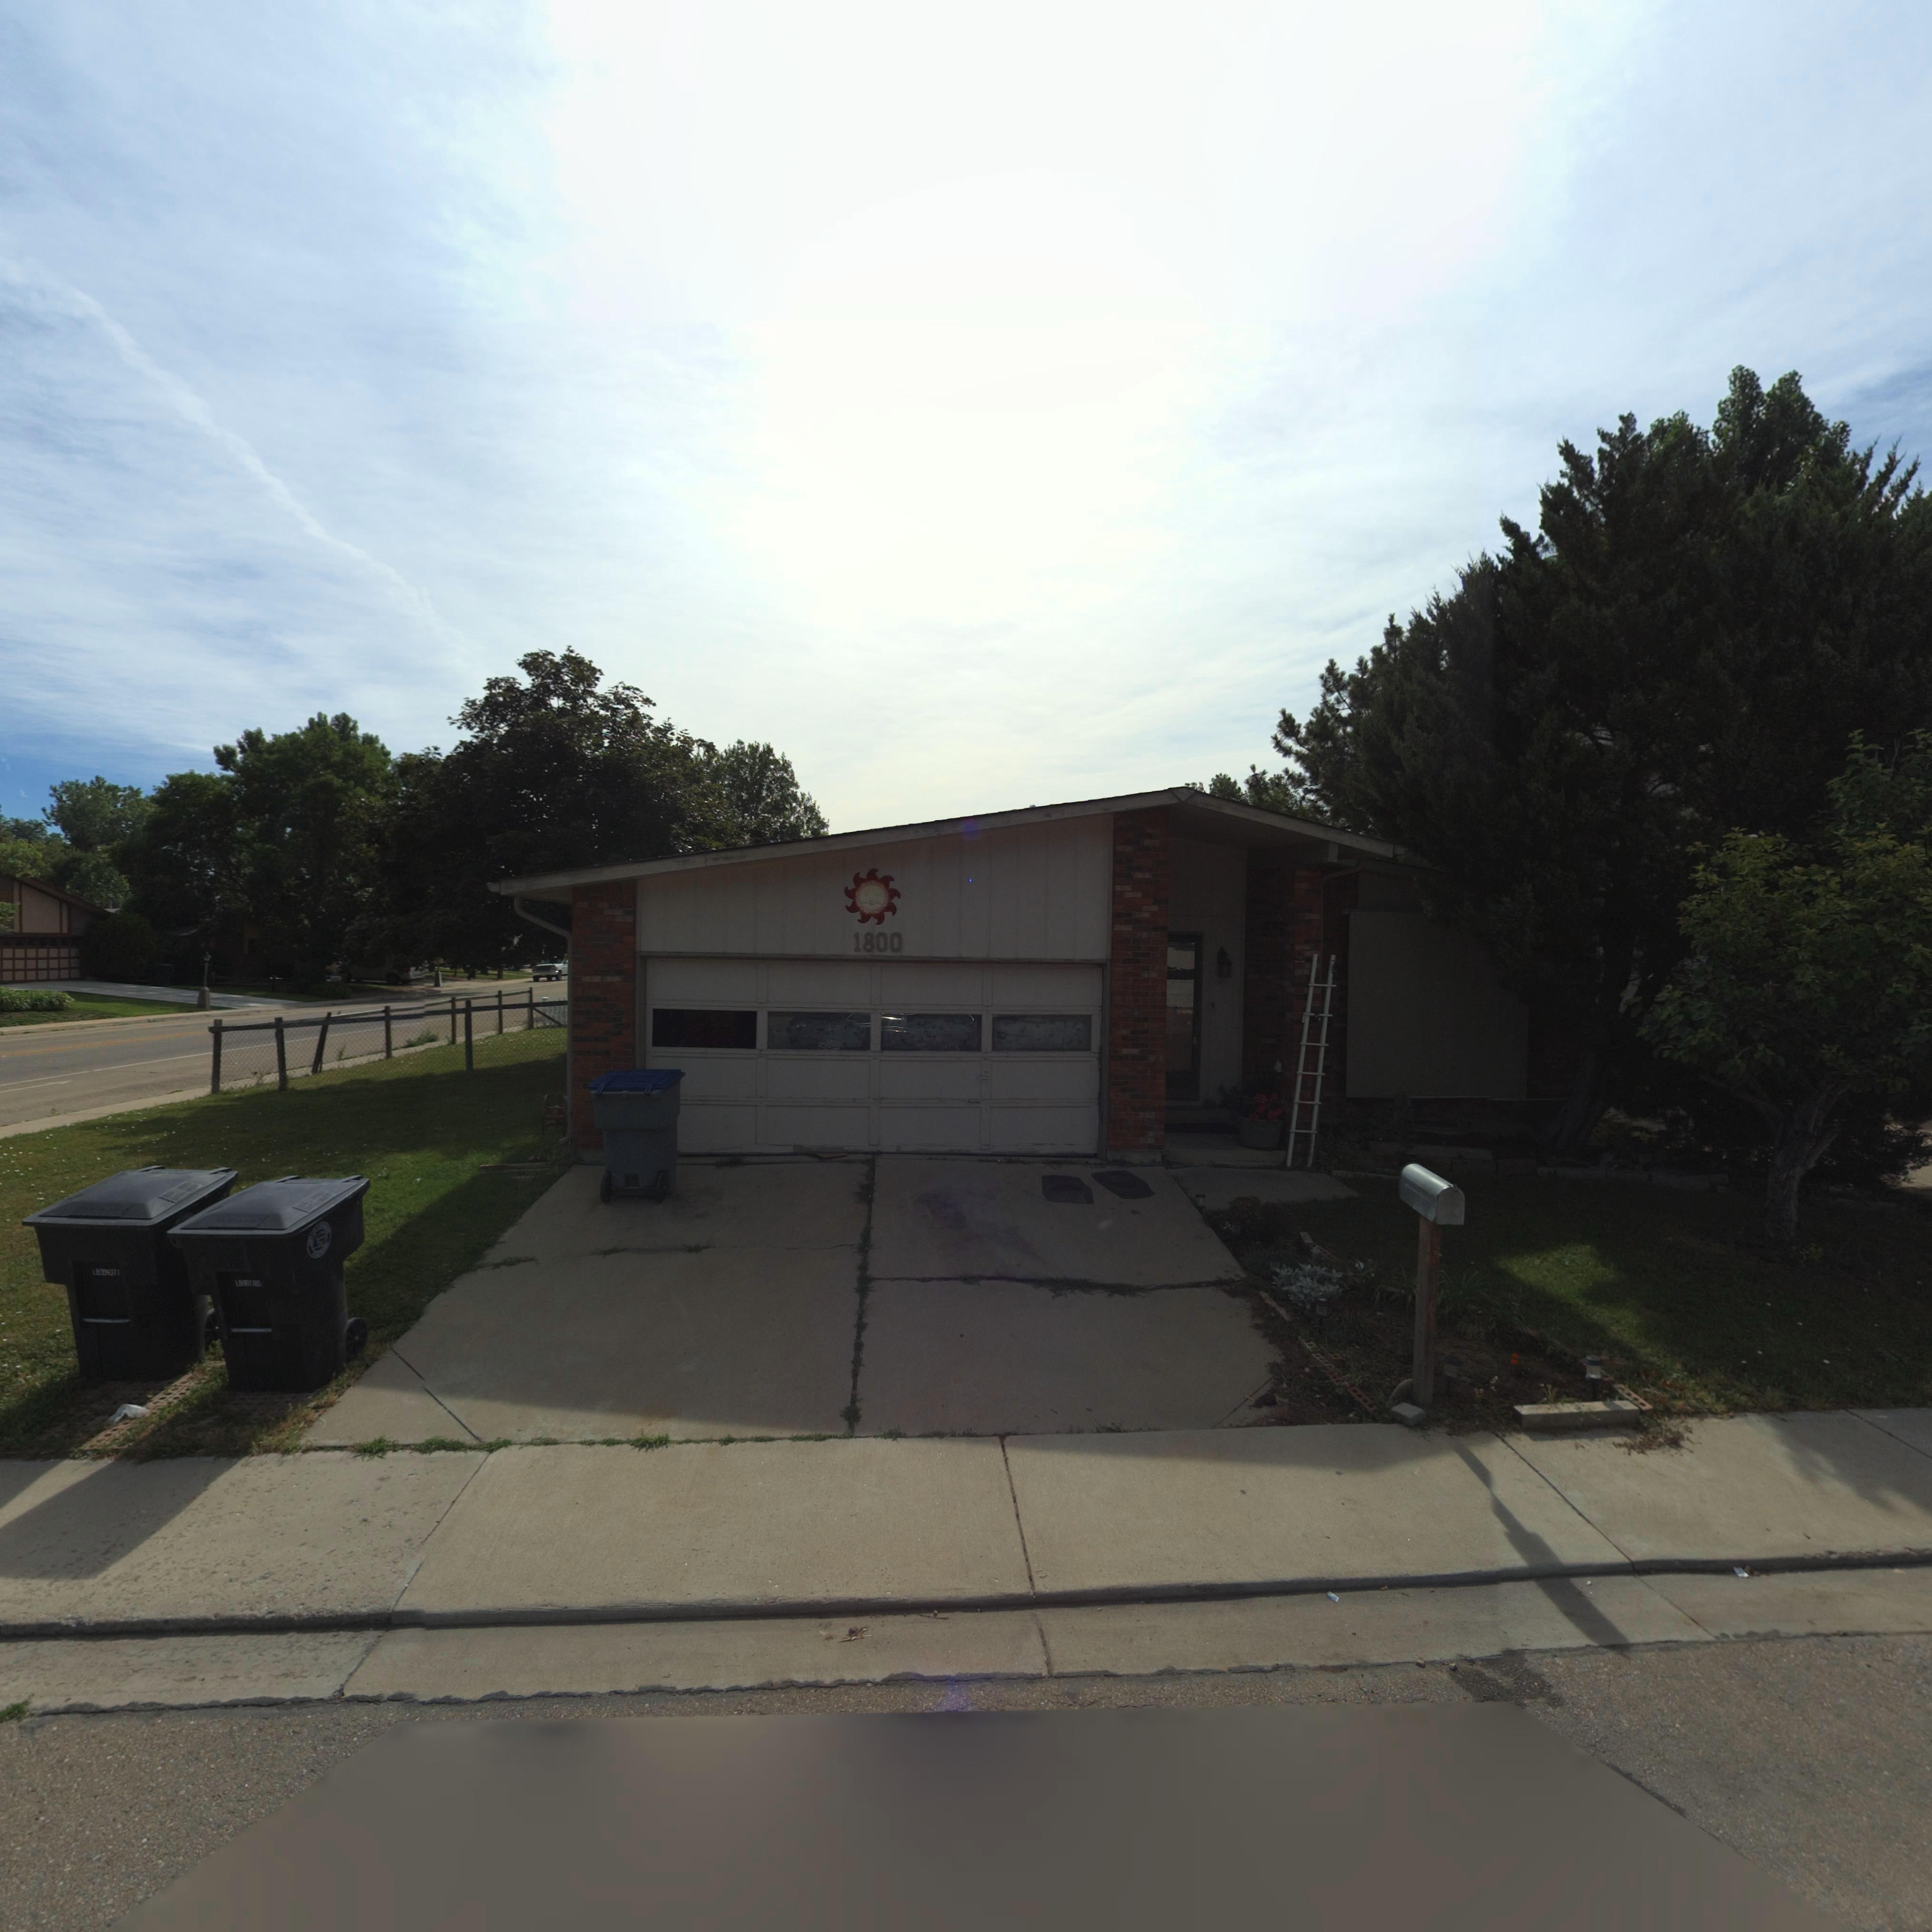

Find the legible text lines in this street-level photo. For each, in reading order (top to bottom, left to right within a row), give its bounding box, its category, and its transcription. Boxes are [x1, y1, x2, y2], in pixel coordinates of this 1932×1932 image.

[853, 931, 903, 954] StreetNumber: 1800